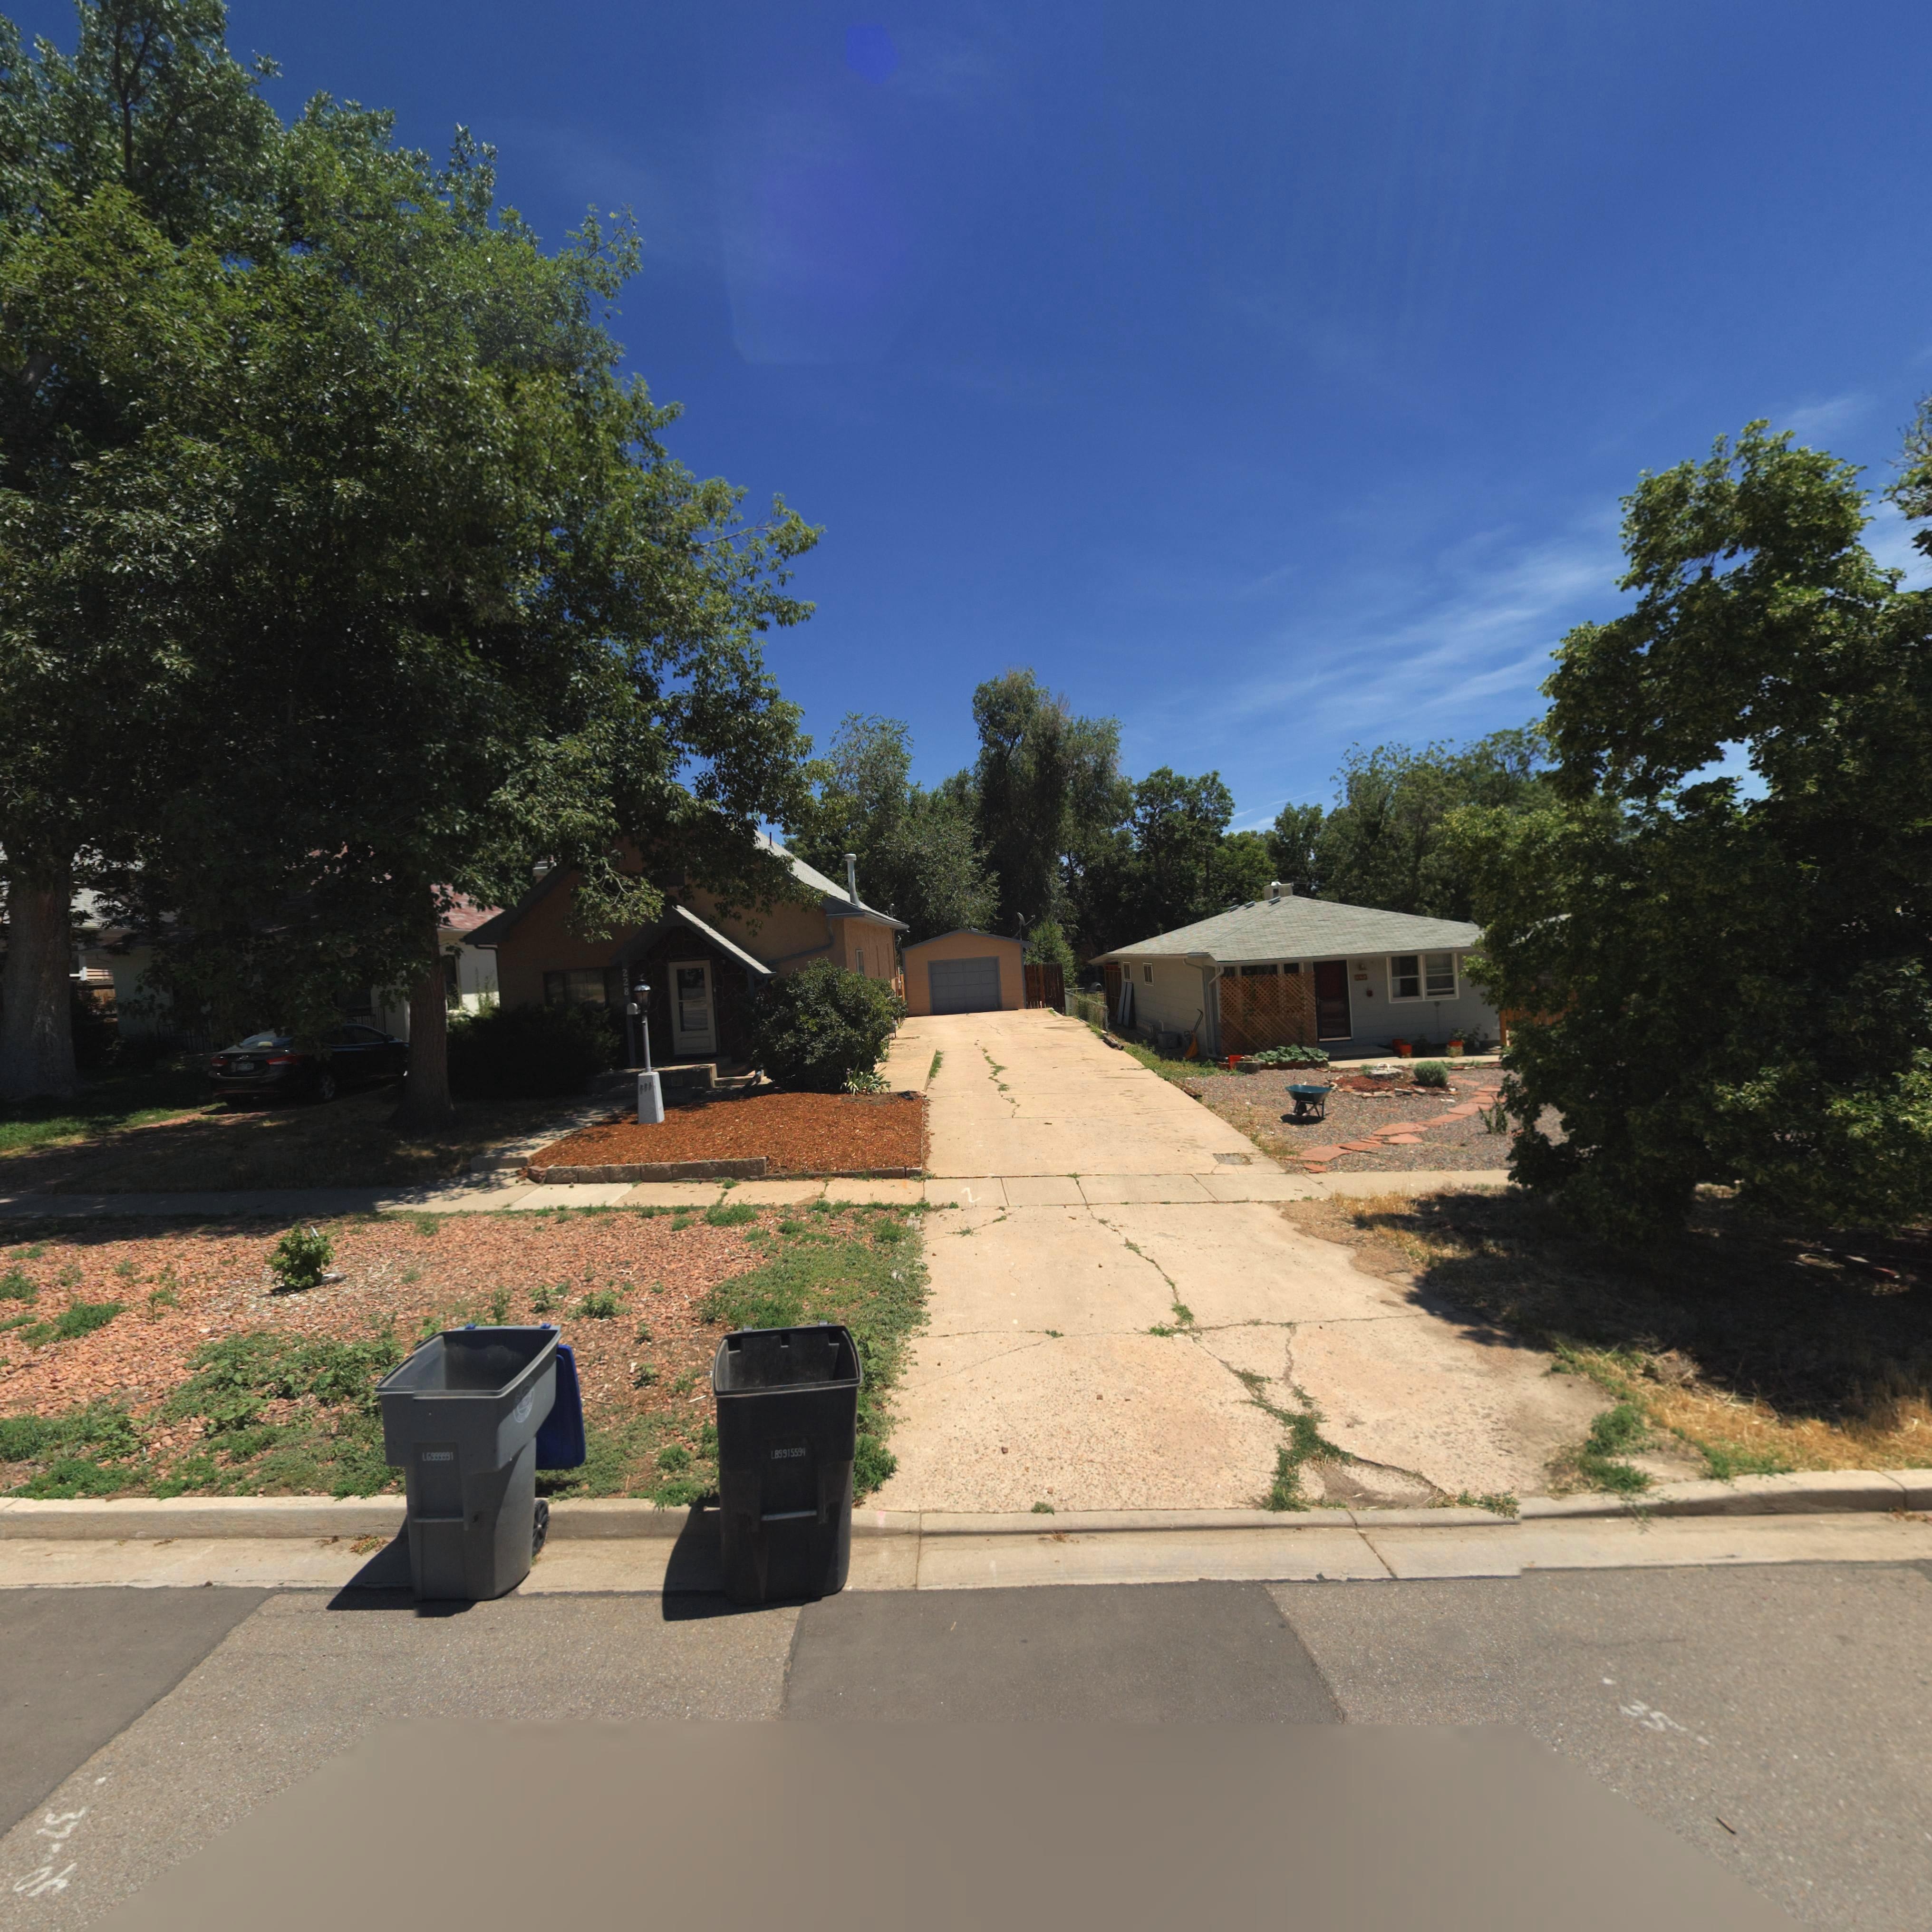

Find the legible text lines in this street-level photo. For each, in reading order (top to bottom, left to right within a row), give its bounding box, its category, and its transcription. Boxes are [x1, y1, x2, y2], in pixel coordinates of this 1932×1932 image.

[621, 968, 629, 995] StreetNumber: 228
[639, 1081, 652, 1090] StreetNumber: 228